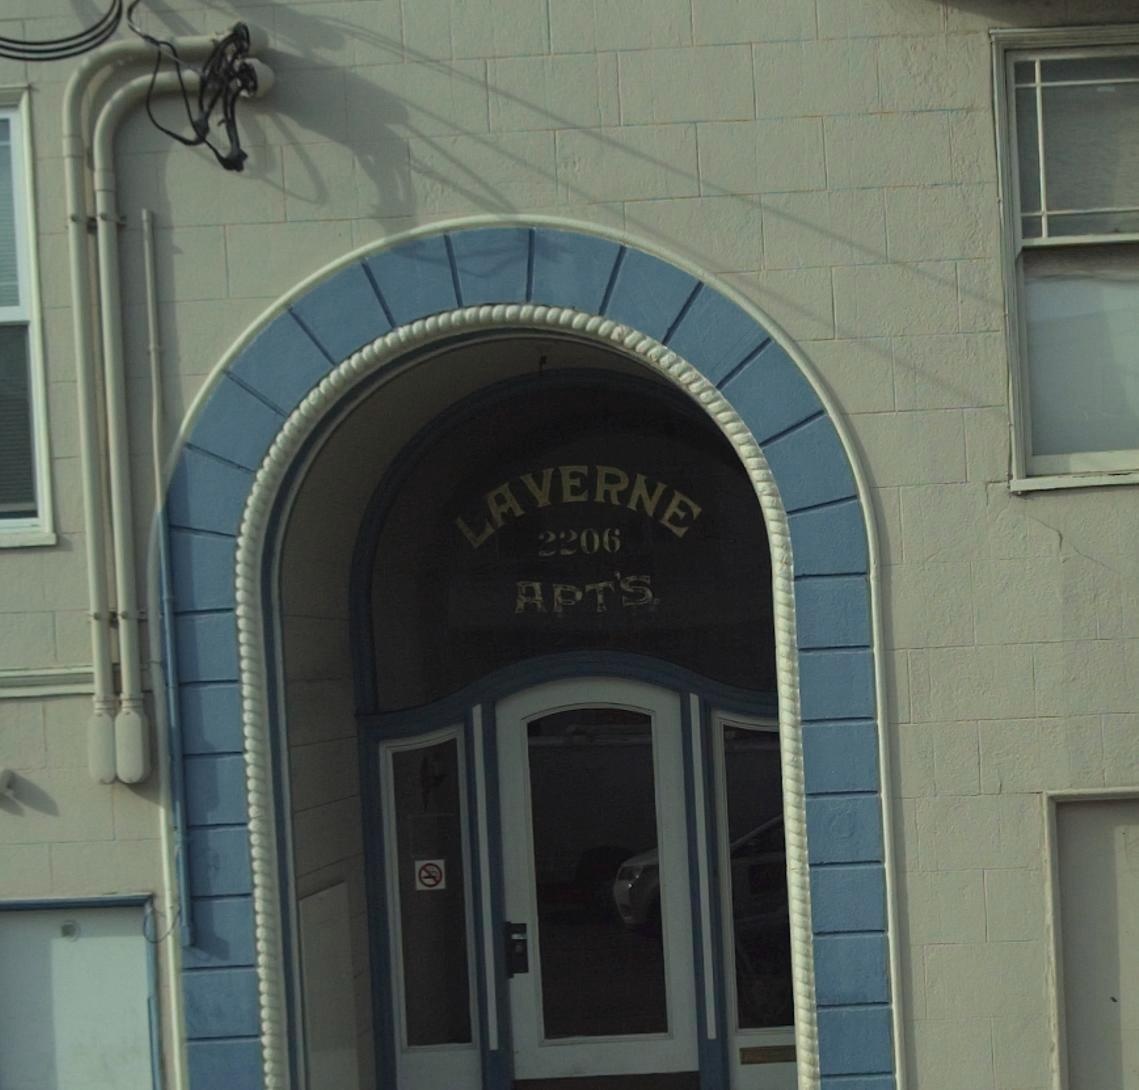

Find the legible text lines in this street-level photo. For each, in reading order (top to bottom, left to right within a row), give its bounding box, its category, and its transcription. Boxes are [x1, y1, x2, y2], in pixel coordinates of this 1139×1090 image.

[446, 460, 709, 555] None: LAVERNE
[535, 523, 623, 561] StreetNumber: 2206
[507, 566, 664, 621] None: APT'S.